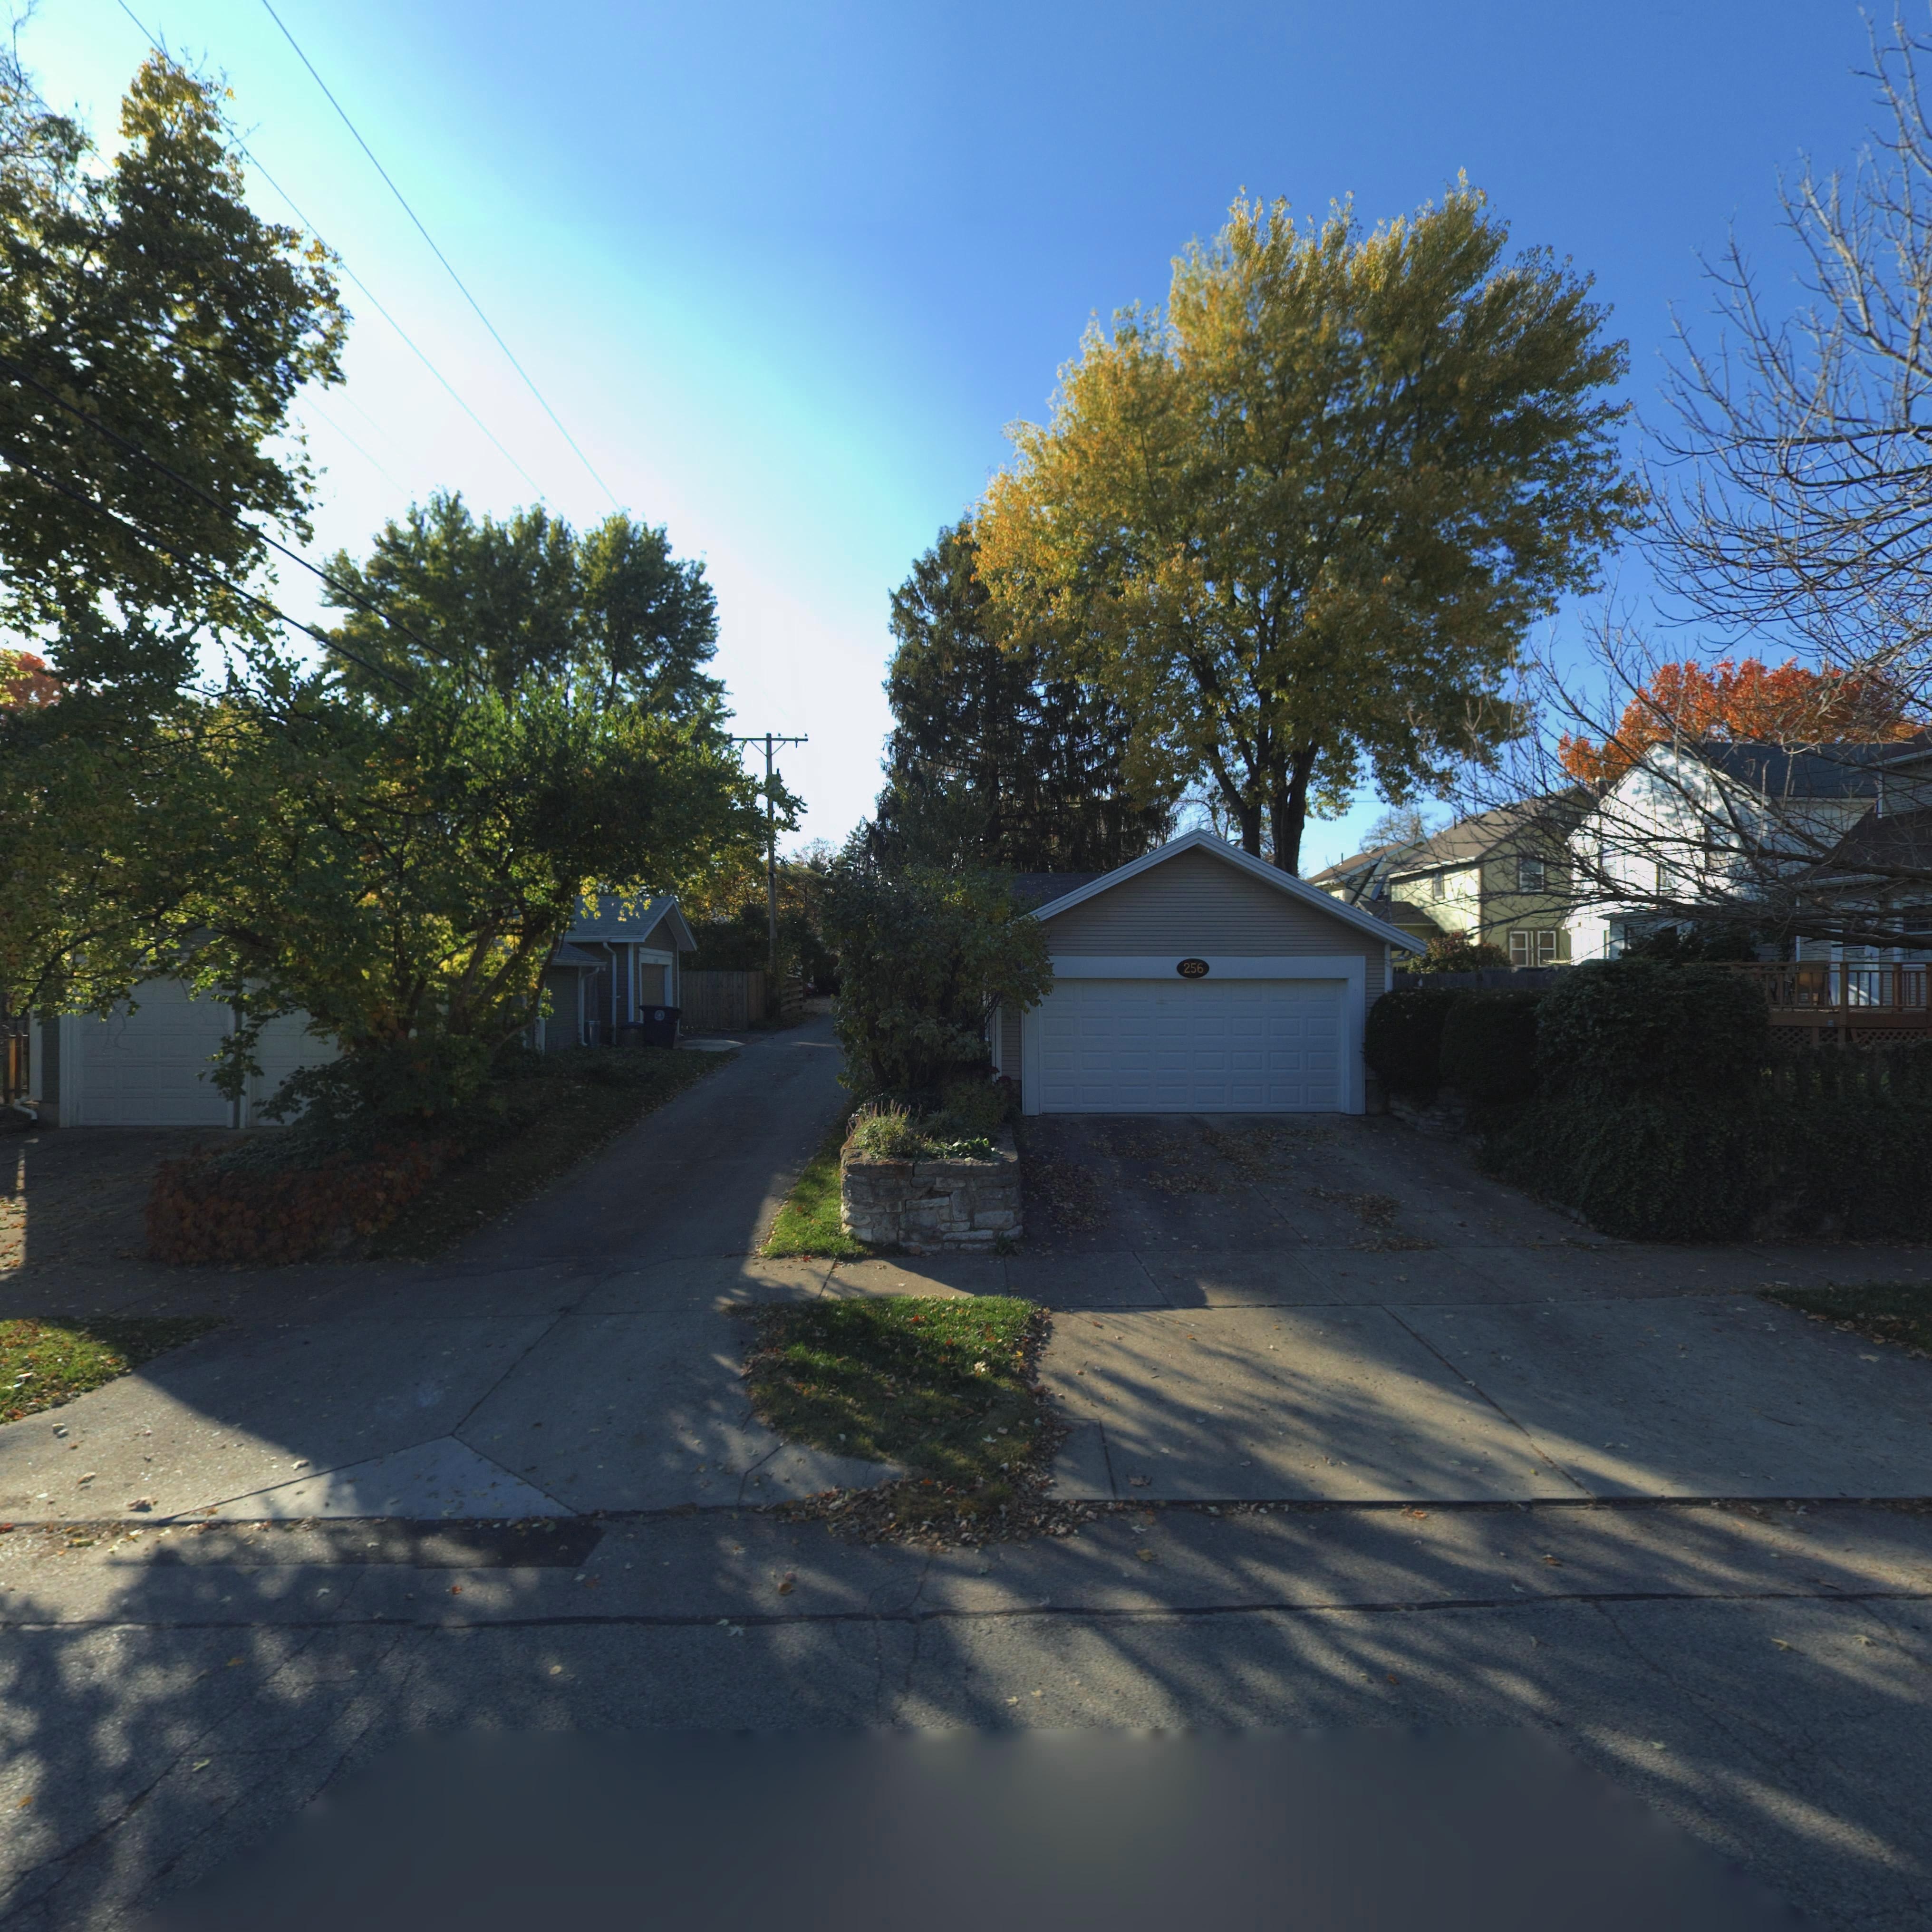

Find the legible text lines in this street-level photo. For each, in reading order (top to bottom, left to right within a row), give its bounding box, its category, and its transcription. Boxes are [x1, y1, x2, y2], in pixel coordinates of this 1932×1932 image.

[1183, 962, 1204, 974] StreetNumber: 256